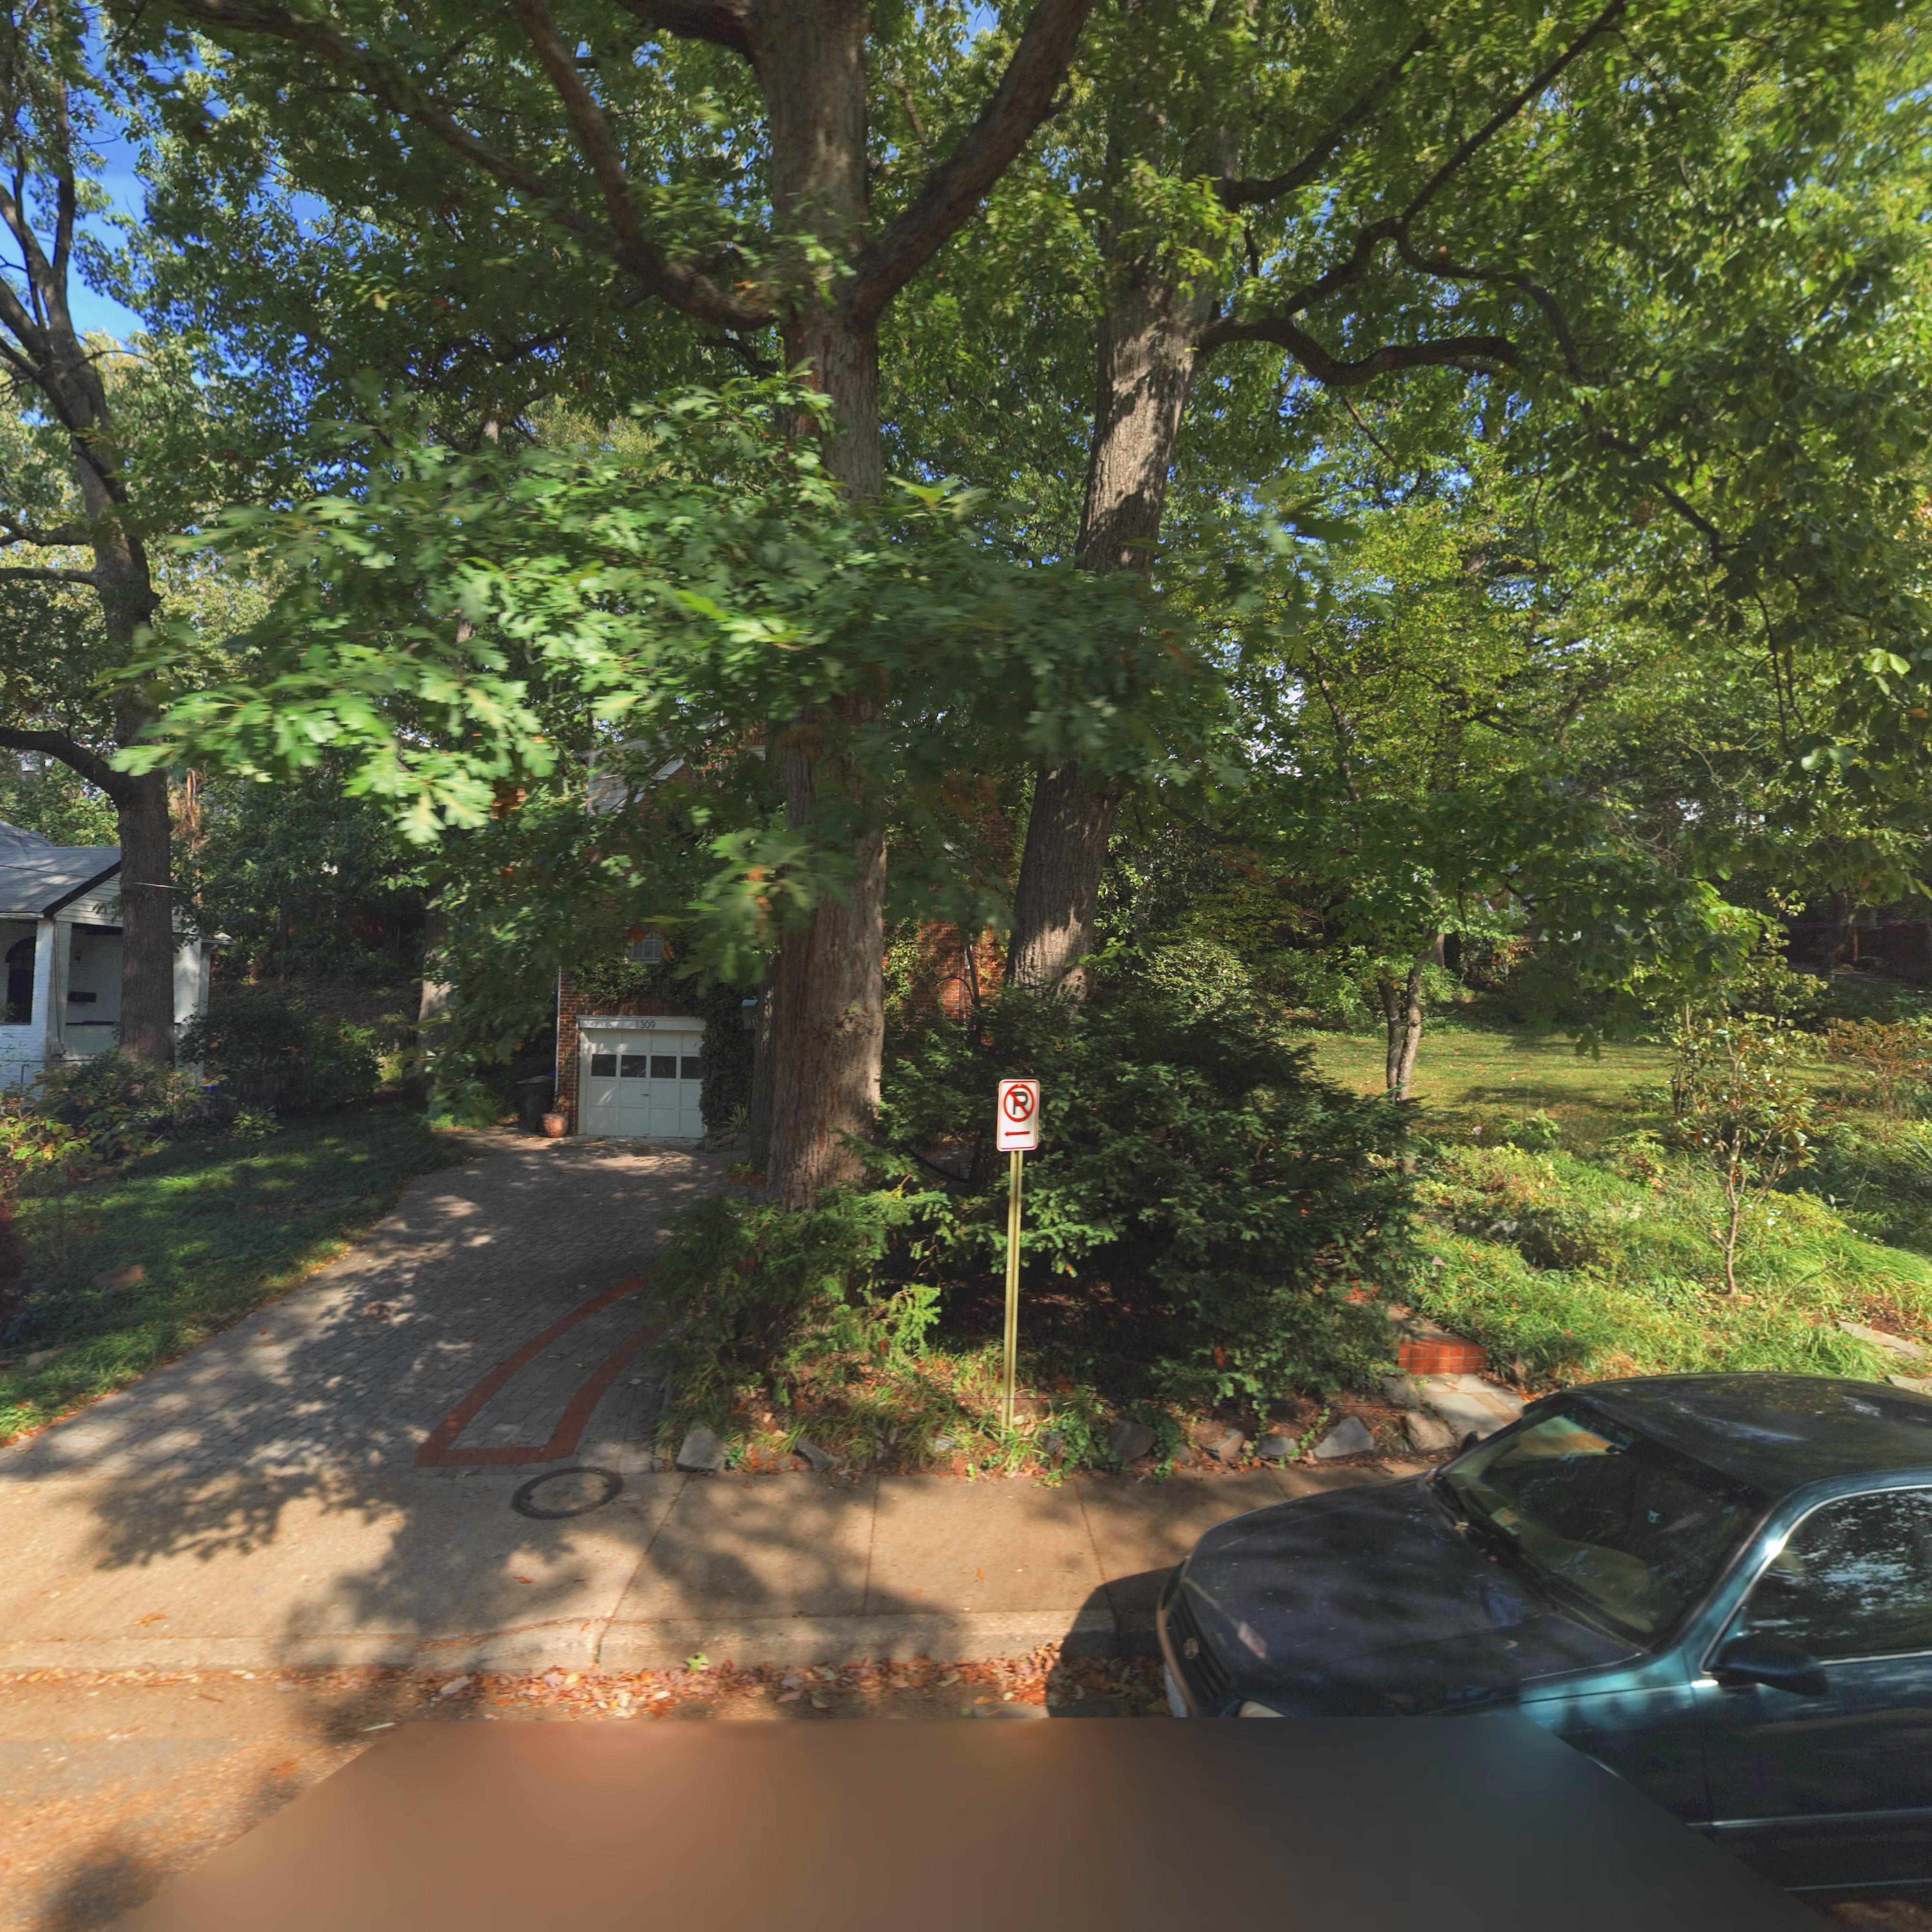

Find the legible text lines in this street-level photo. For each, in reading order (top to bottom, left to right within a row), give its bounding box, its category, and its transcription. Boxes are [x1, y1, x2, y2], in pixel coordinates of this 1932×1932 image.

[635, 1020, 657, 1029] StreetNumber: 1309